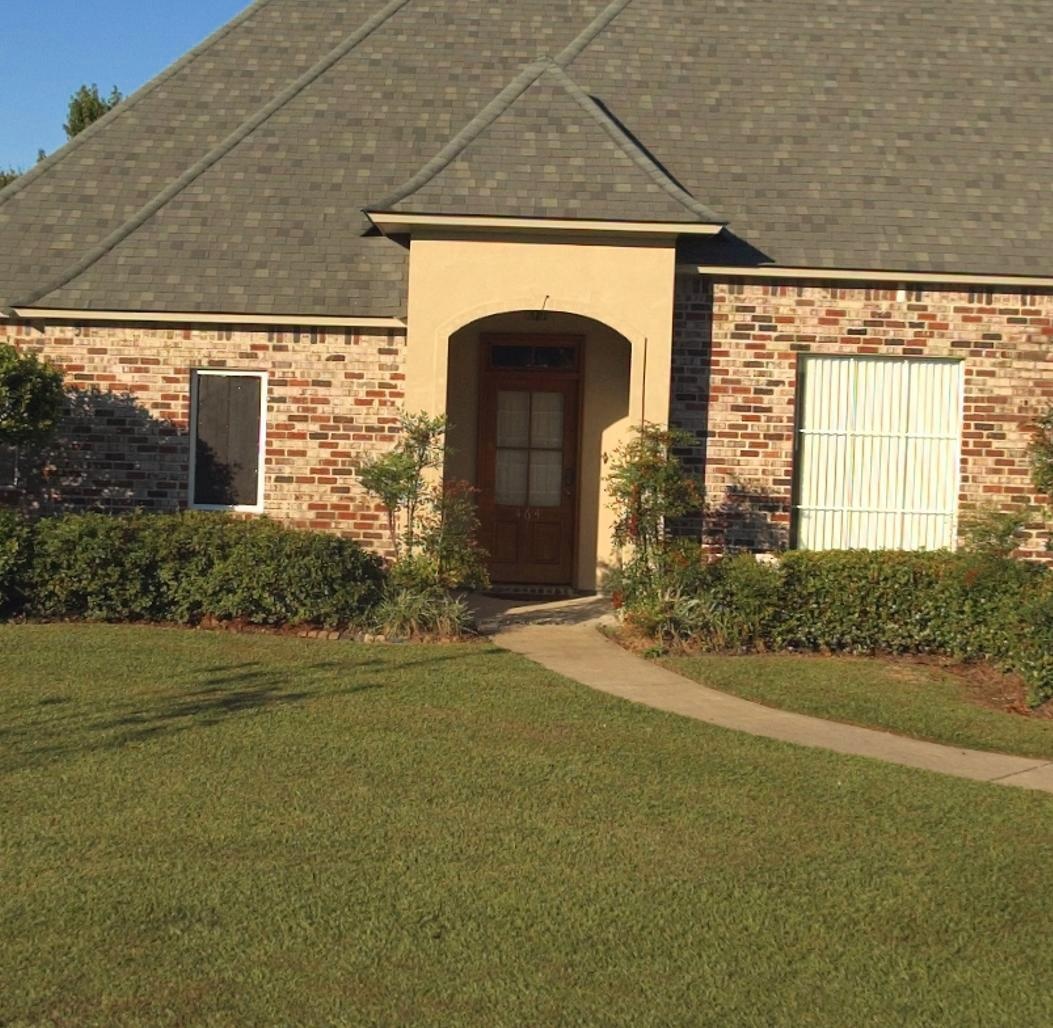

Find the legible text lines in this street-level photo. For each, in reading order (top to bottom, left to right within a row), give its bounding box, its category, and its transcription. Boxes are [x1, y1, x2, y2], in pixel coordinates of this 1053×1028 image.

[514, 506, 541, 520] StreetNumber: 464